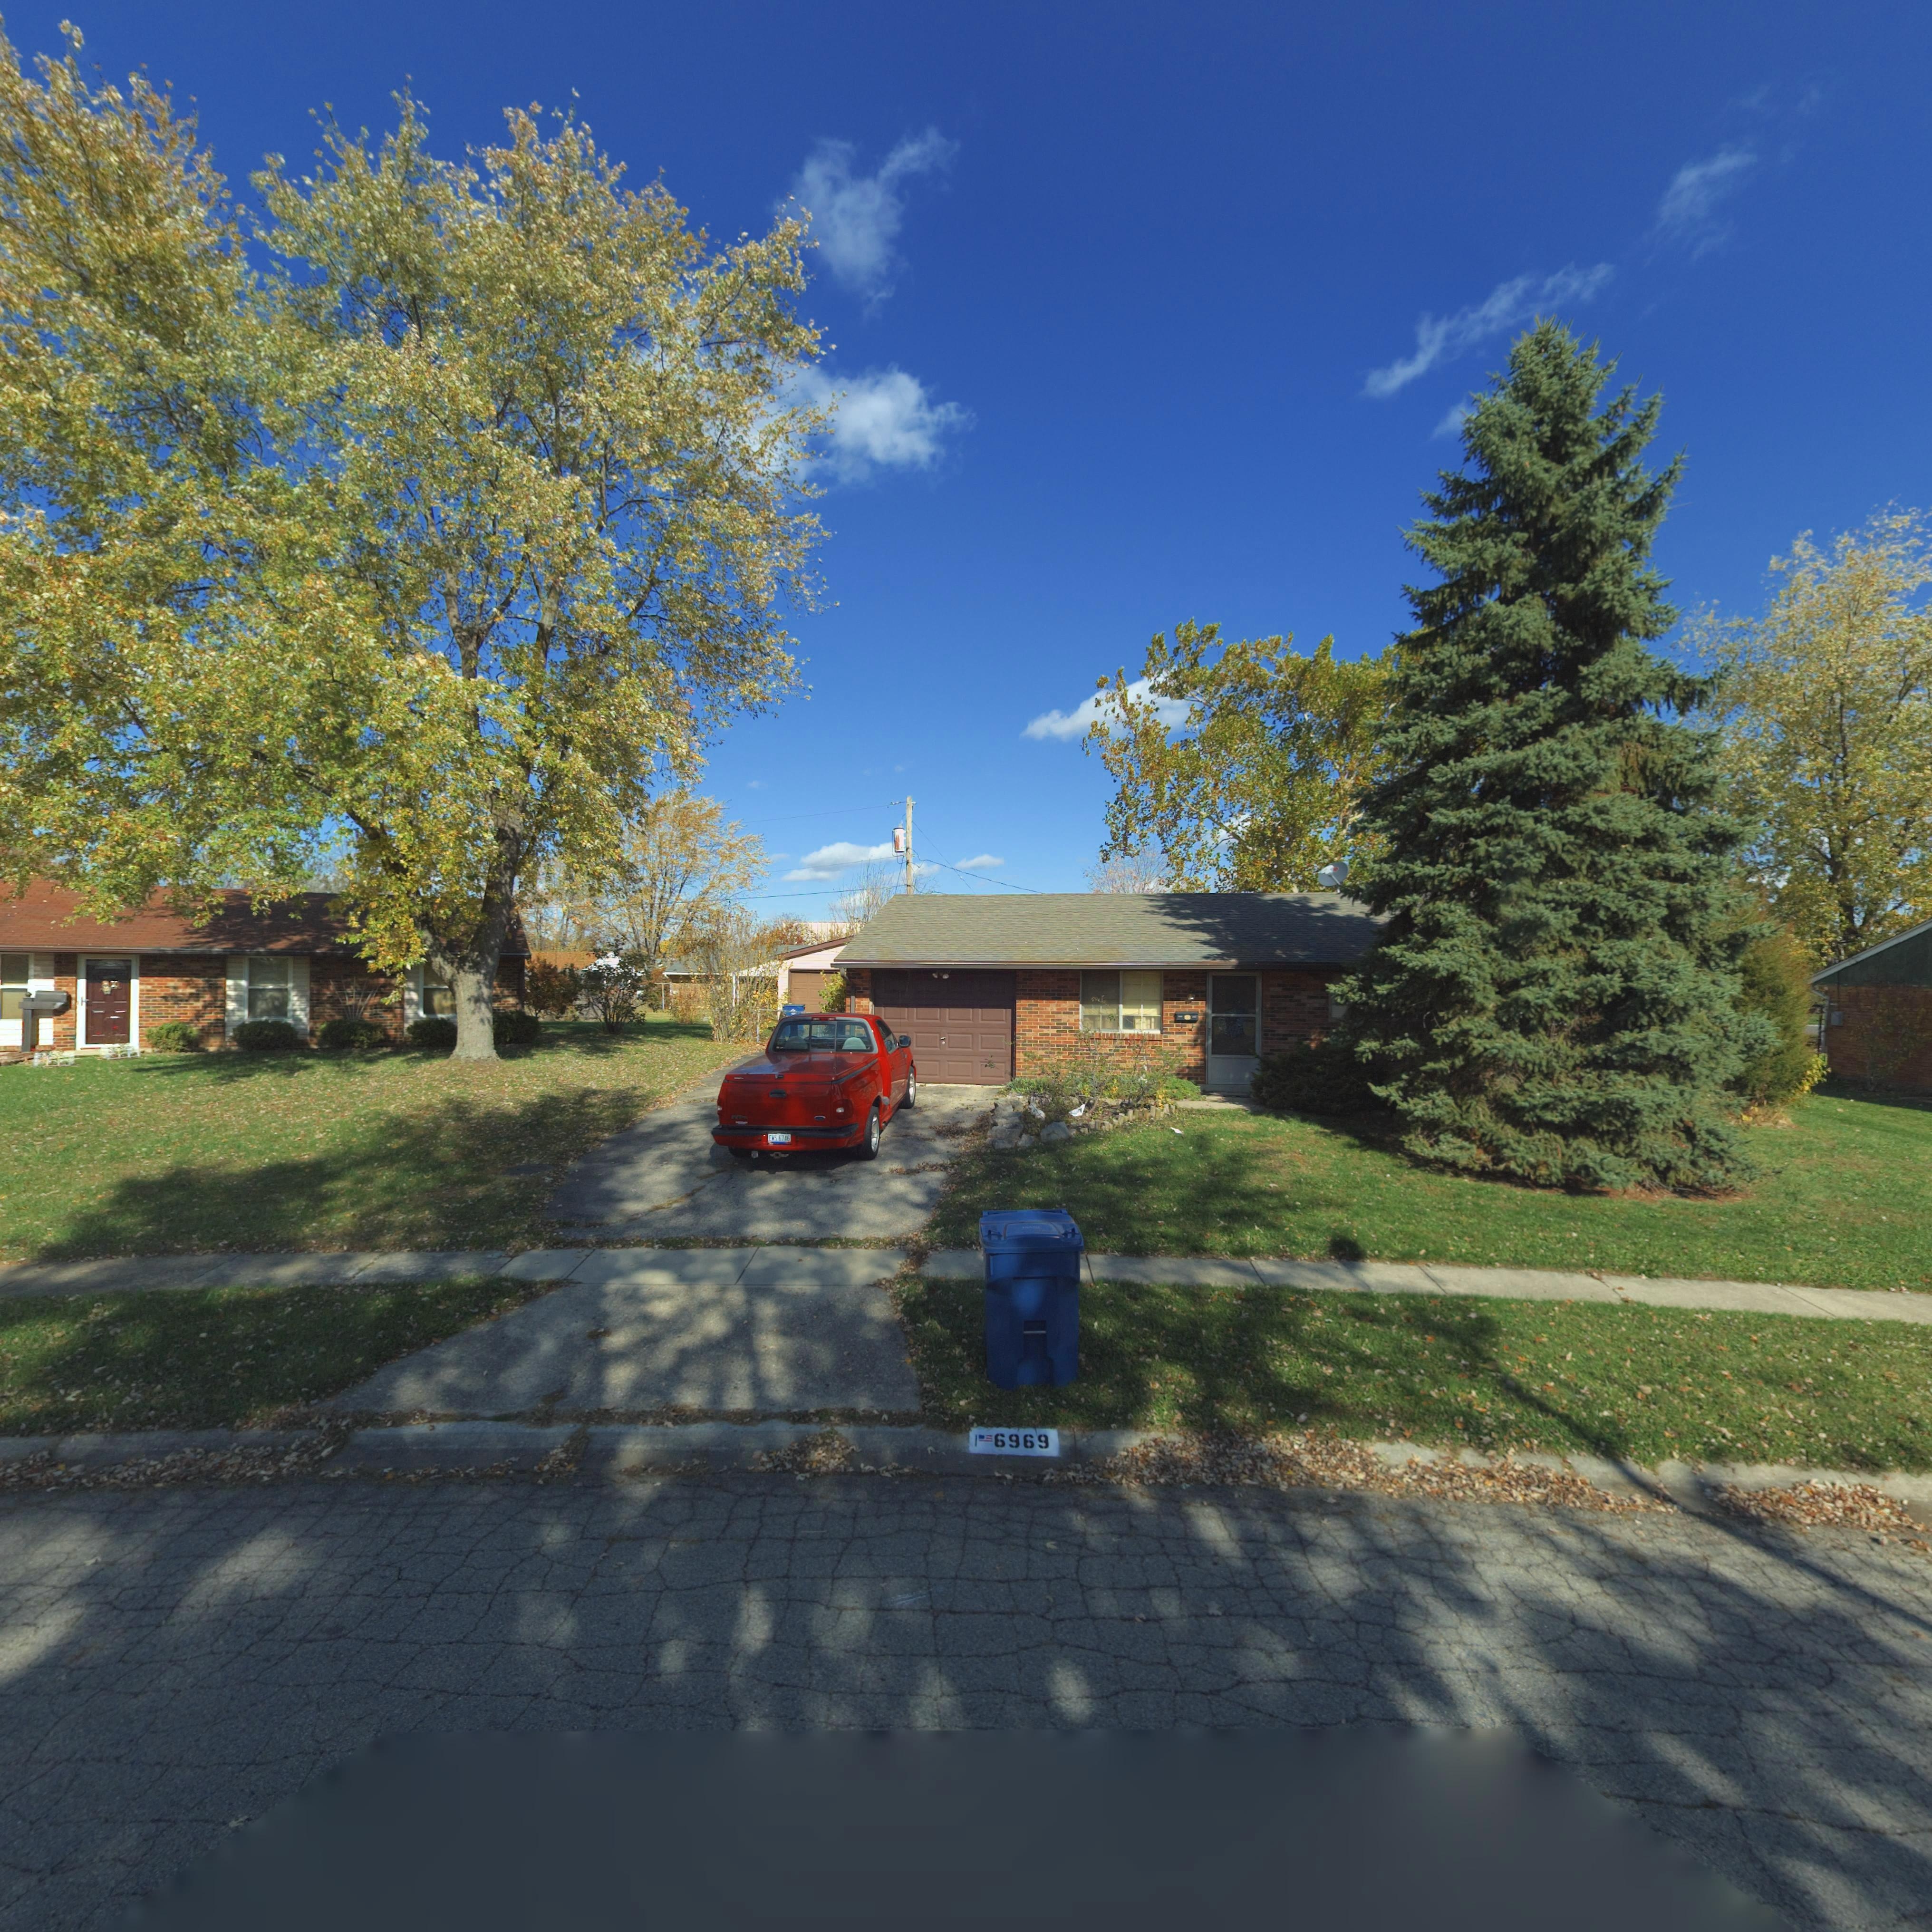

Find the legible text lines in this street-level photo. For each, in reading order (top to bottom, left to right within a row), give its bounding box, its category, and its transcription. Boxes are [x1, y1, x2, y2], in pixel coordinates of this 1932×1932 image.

[993, 1432, 1051, 1450] StreetNumber: 6969